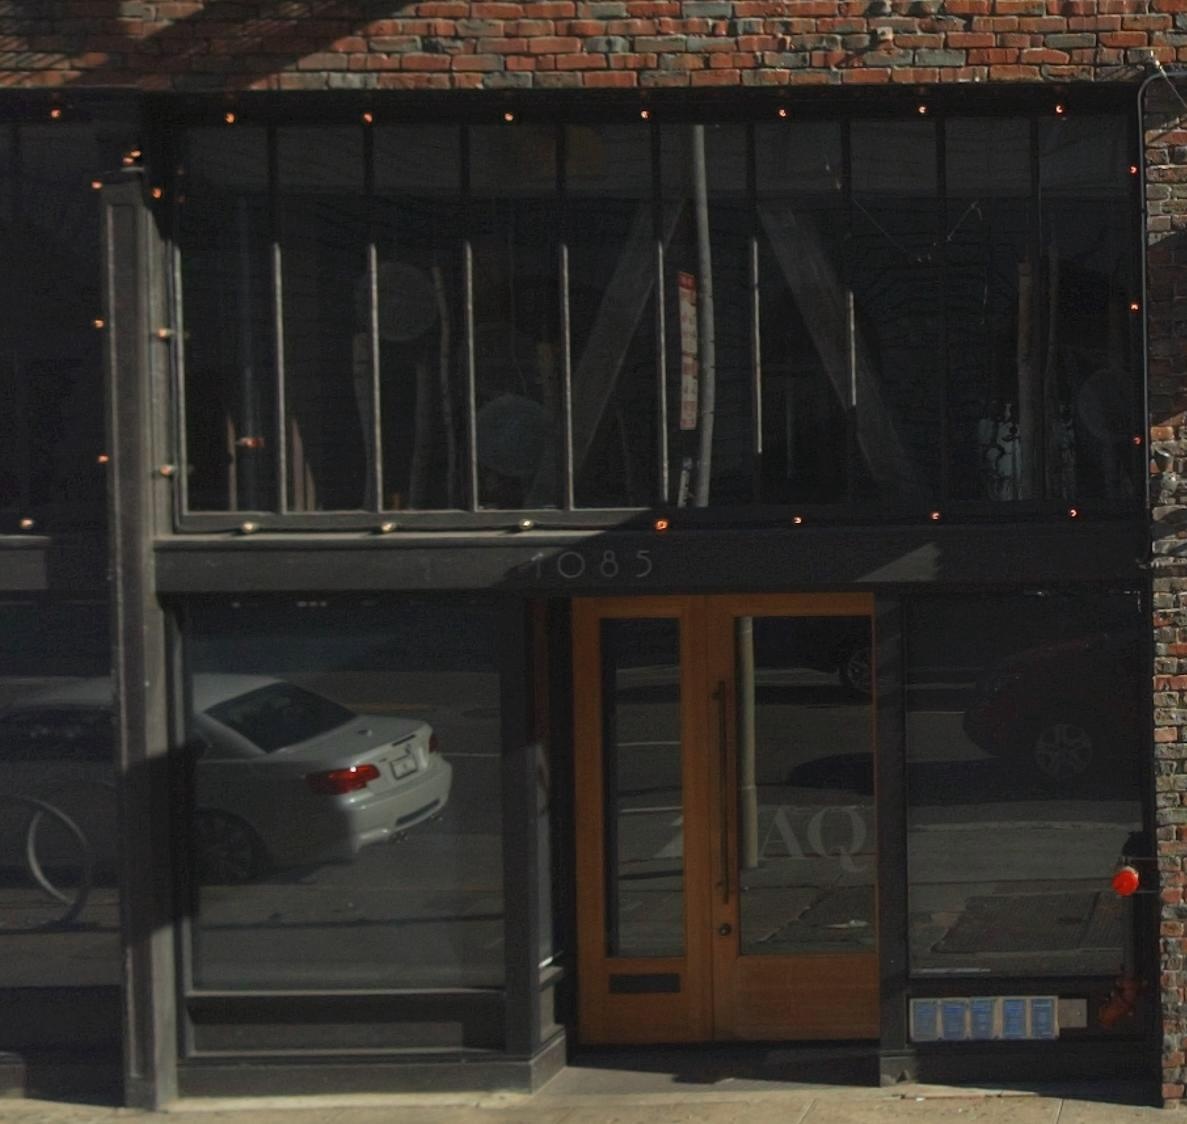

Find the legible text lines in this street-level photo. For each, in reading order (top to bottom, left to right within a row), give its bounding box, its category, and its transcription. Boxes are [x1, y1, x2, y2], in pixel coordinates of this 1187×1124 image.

[528, 547, 654, 581] StreetNumber: 1085
[754, 803, 869, 874] BusinessName: AQ